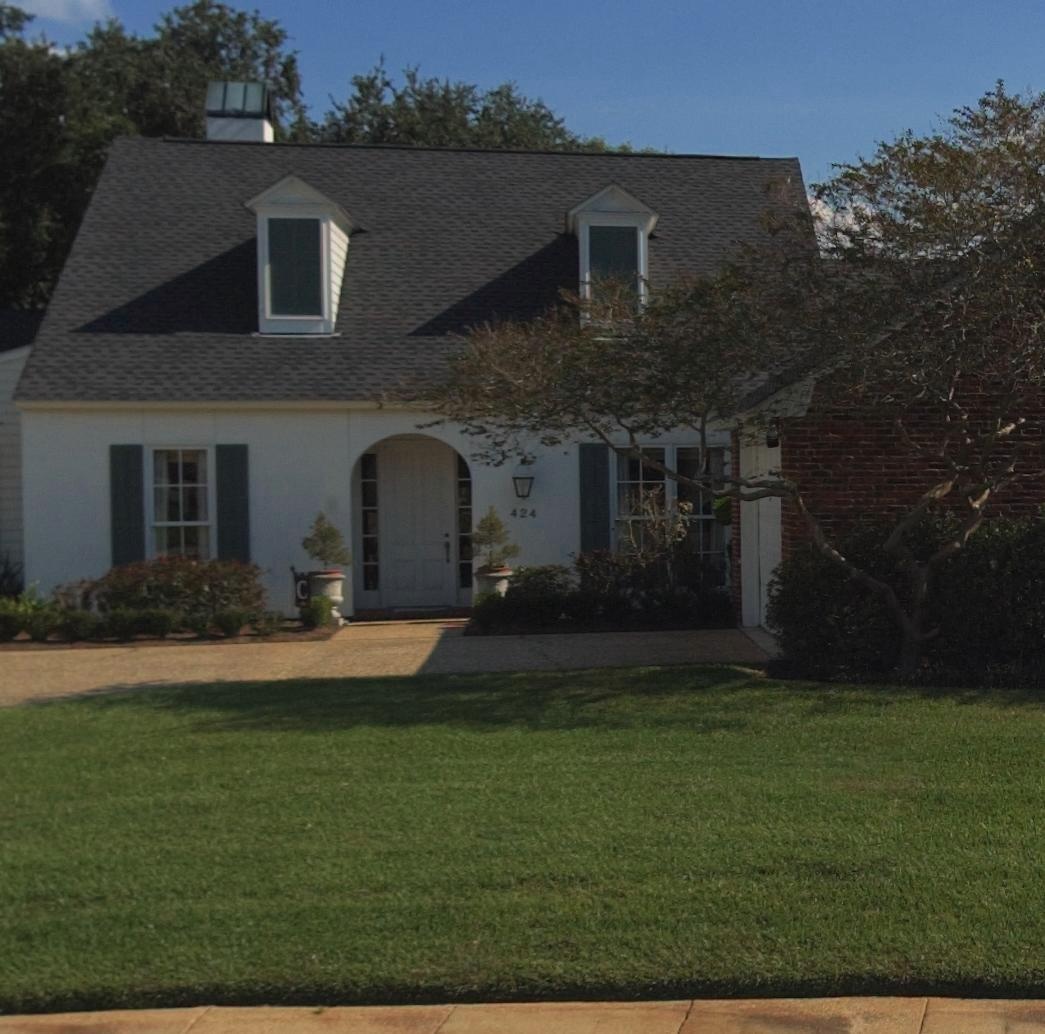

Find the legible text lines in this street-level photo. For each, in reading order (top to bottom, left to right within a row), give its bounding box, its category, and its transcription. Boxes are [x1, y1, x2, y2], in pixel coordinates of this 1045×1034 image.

[509, 508, 537, 519] StreetNumber: 424